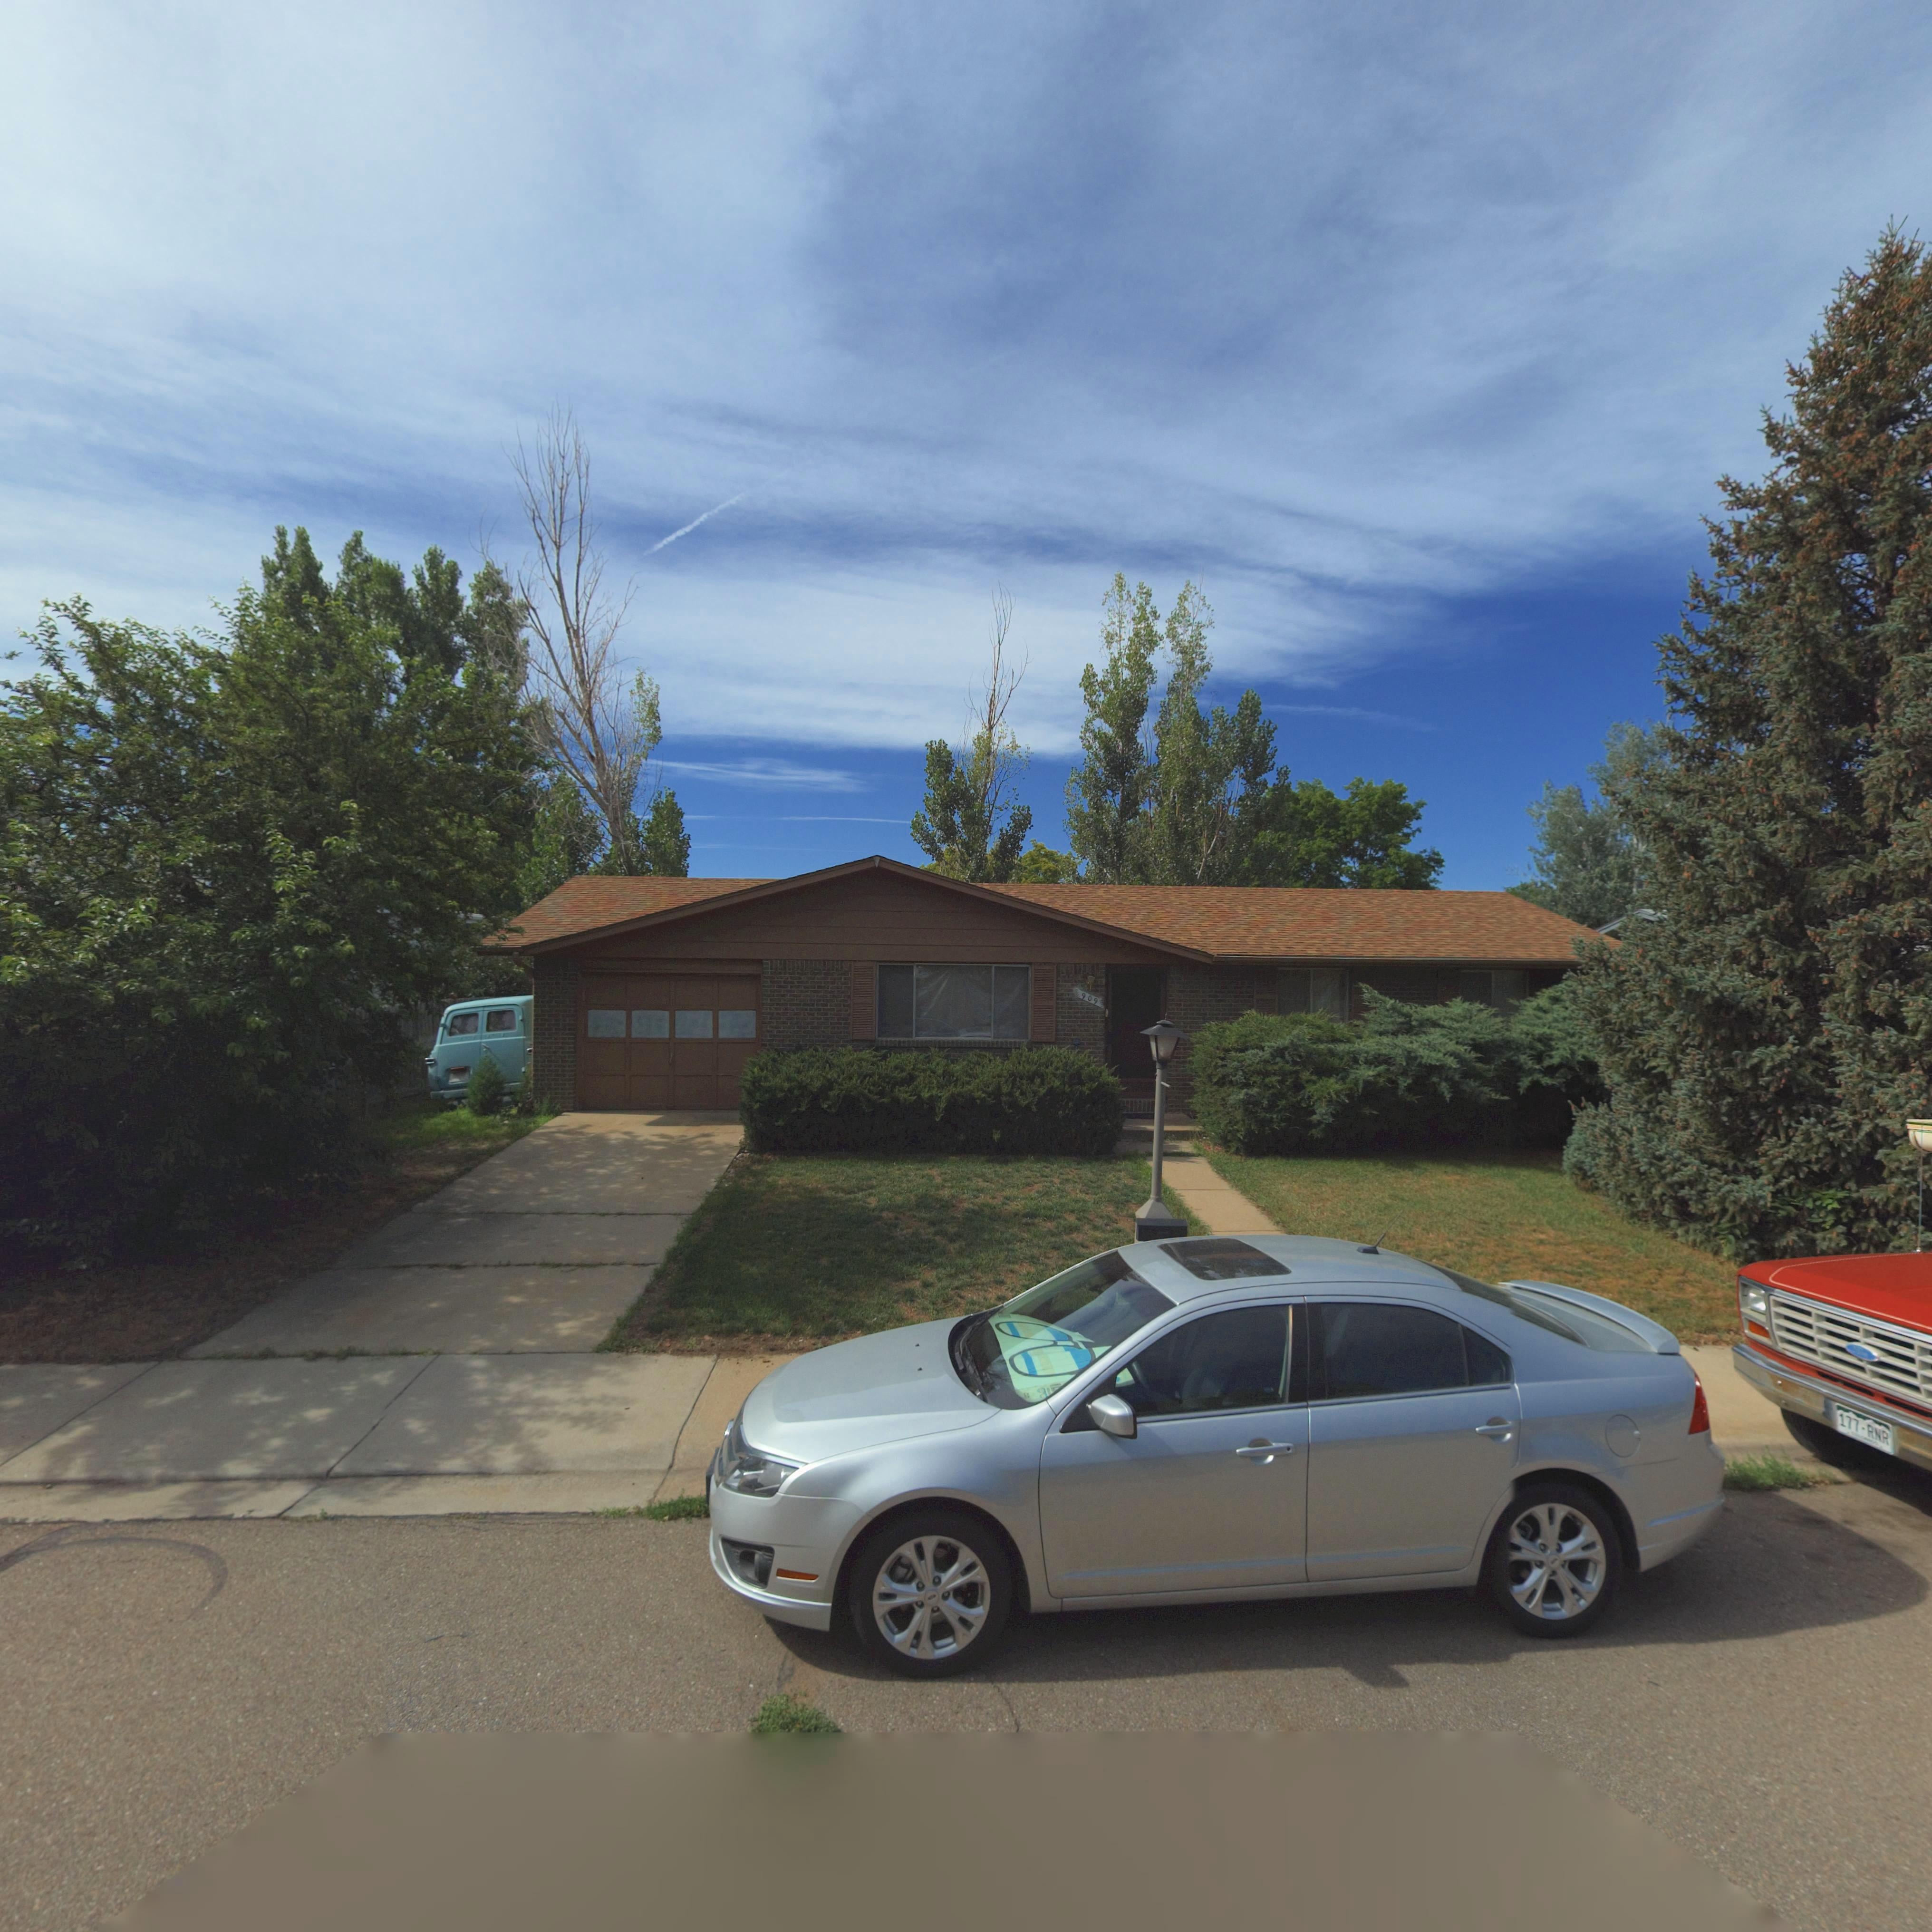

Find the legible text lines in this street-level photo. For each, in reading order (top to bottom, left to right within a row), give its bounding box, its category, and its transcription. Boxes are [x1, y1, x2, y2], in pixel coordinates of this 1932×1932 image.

[1081, 992, 1099, 1005] StreetNumber: 909